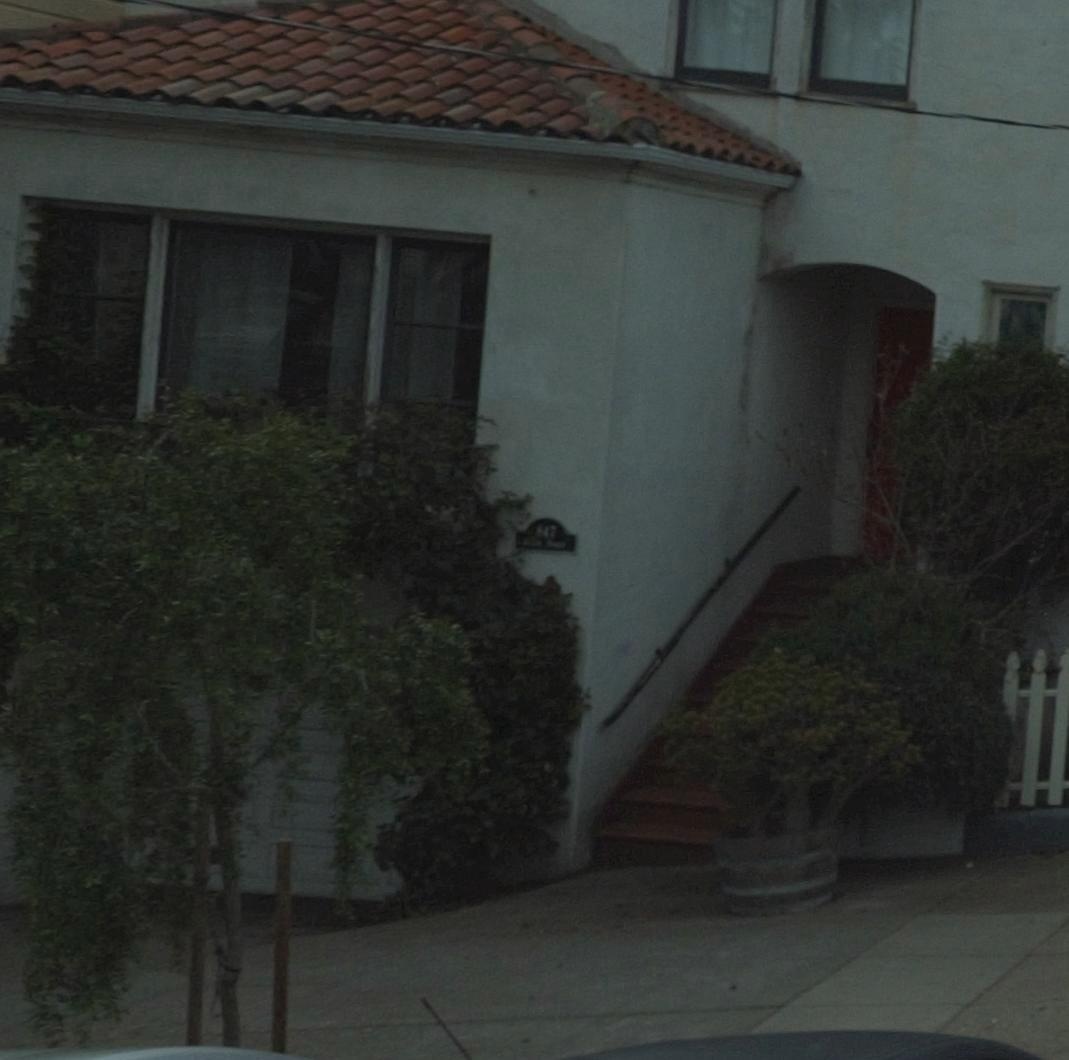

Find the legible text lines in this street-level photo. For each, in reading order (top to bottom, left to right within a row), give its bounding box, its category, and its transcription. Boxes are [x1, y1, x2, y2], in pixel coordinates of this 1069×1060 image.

[535, 523, 559, 539] StreetNumber: 847